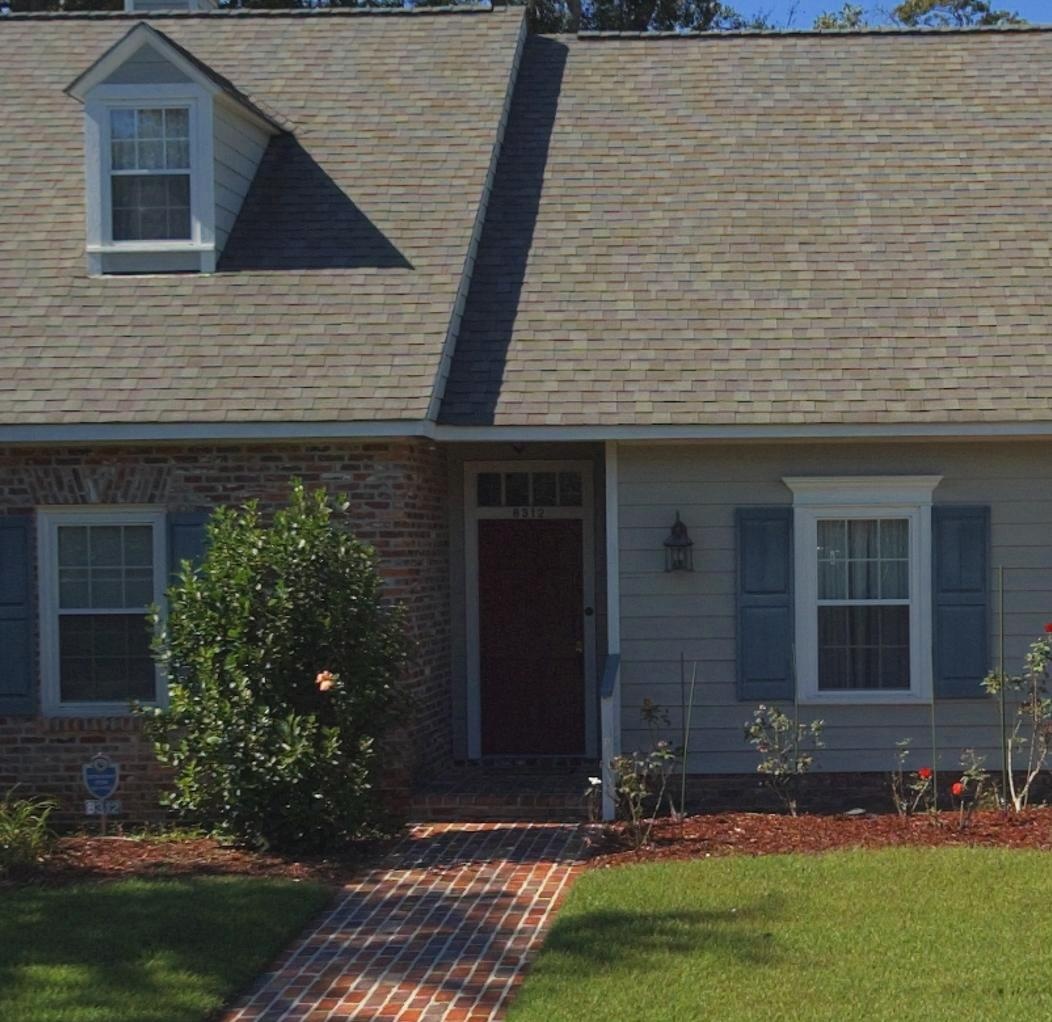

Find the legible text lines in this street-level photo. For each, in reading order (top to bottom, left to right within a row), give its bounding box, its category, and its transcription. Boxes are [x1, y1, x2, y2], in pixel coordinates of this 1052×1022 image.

[512, 506, 546, 519] StreetNumber: 8312
[86, 801, 120, 814] StreetNumber: 8312